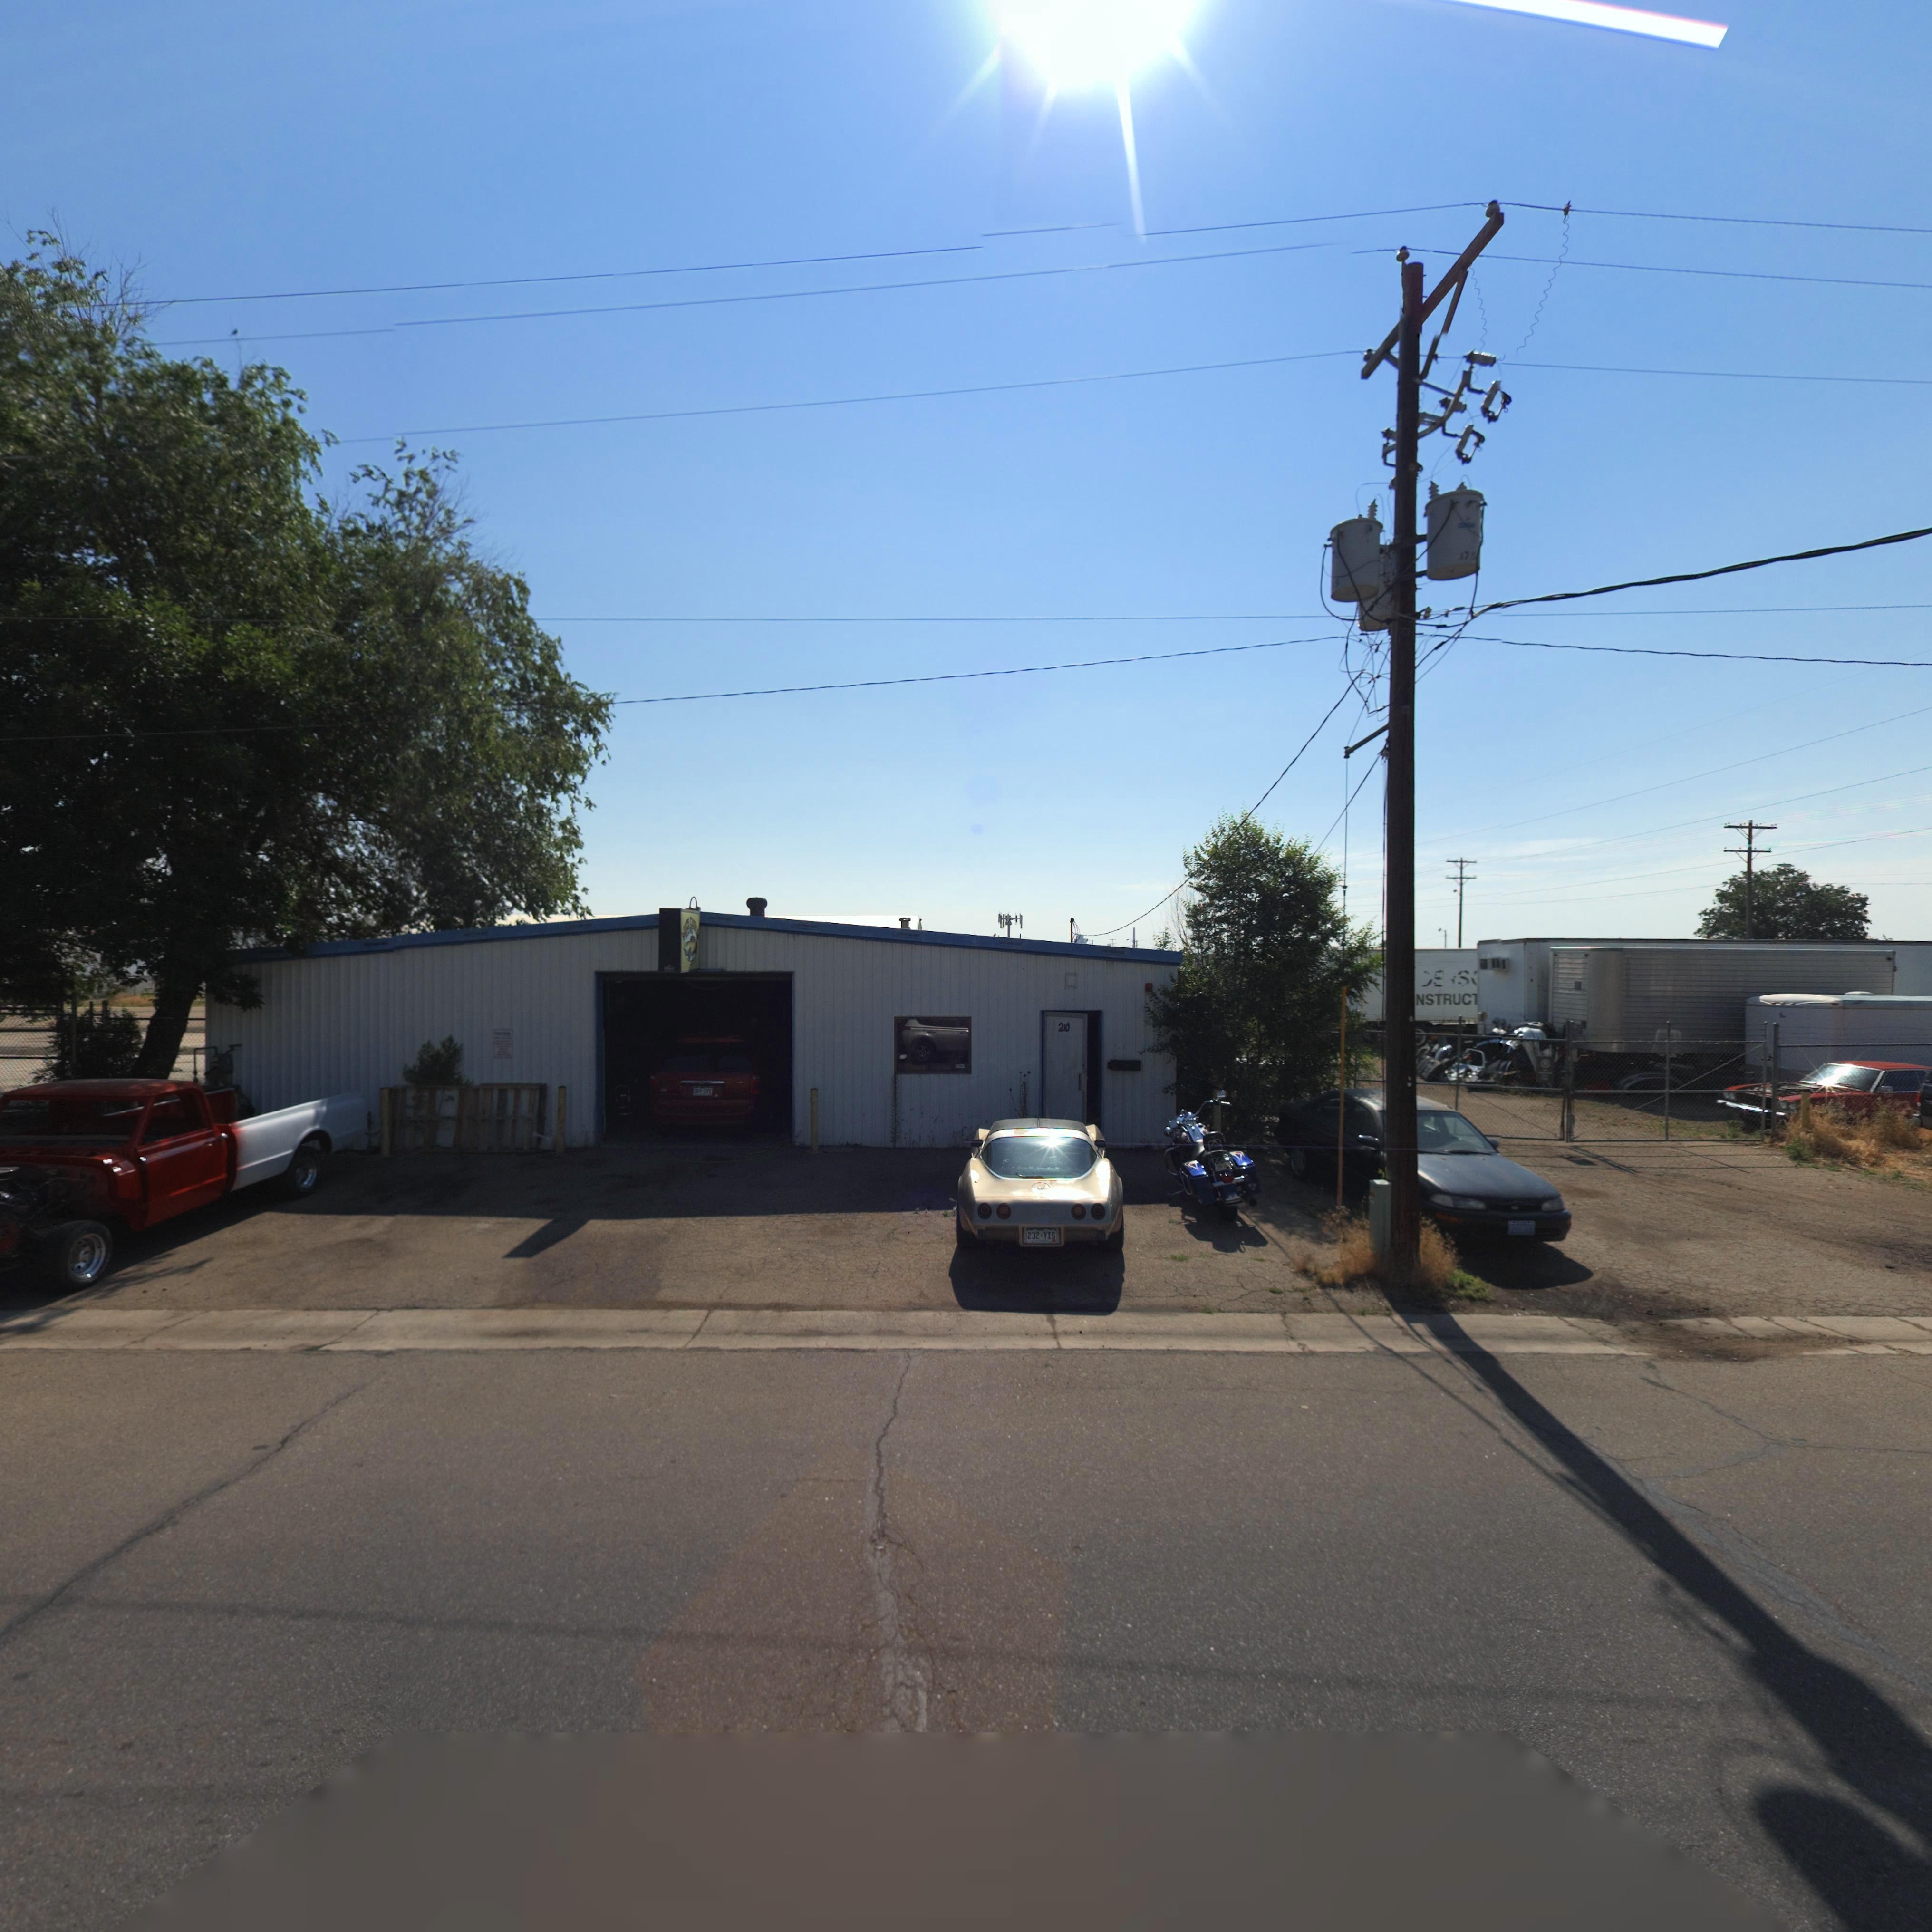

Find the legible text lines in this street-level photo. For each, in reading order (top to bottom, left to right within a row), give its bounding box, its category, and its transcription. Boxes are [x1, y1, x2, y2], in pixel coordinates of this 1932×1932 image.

[680, 916, 699, 941] BusinessName: MRS O****
[1058, 1022, 1070, 1033] StreetNumber: 210